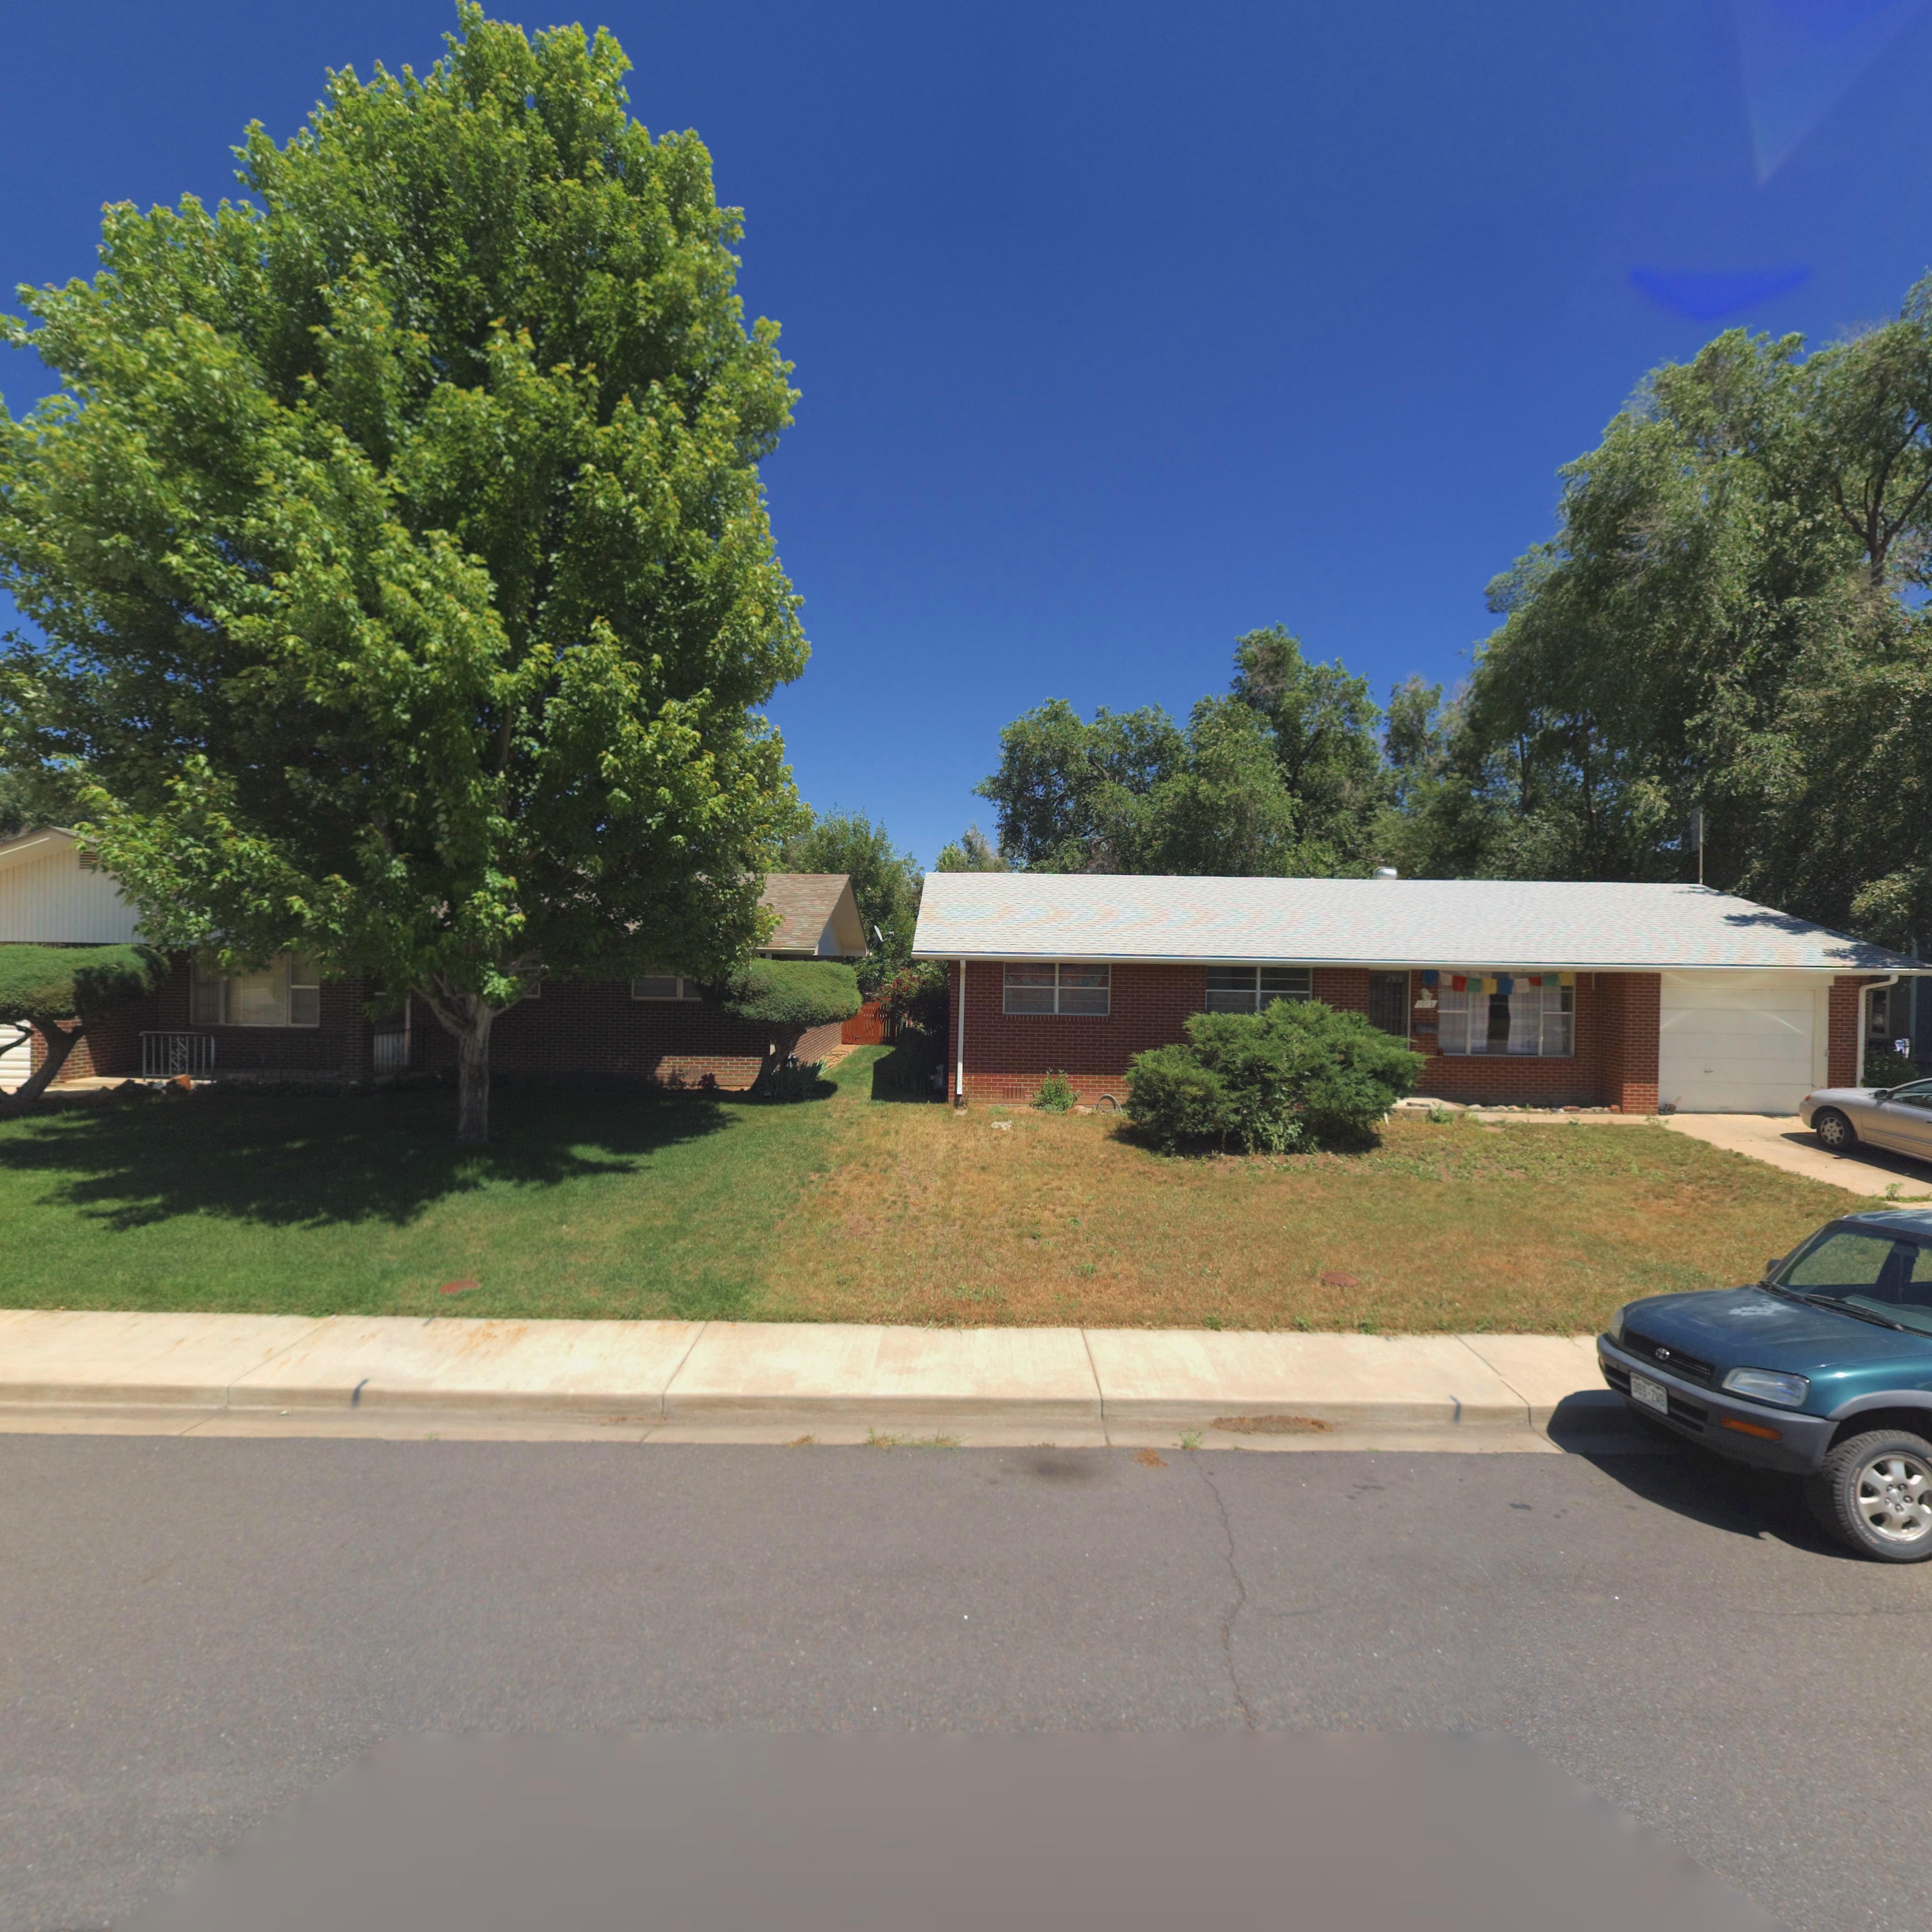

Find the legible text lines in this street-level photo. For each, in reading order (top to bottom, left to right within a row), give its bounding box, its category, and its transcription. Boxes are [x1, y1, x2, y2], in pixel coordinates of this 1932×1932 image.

[1417, 1000, 1434, 1007] StreetNumber: *0*2